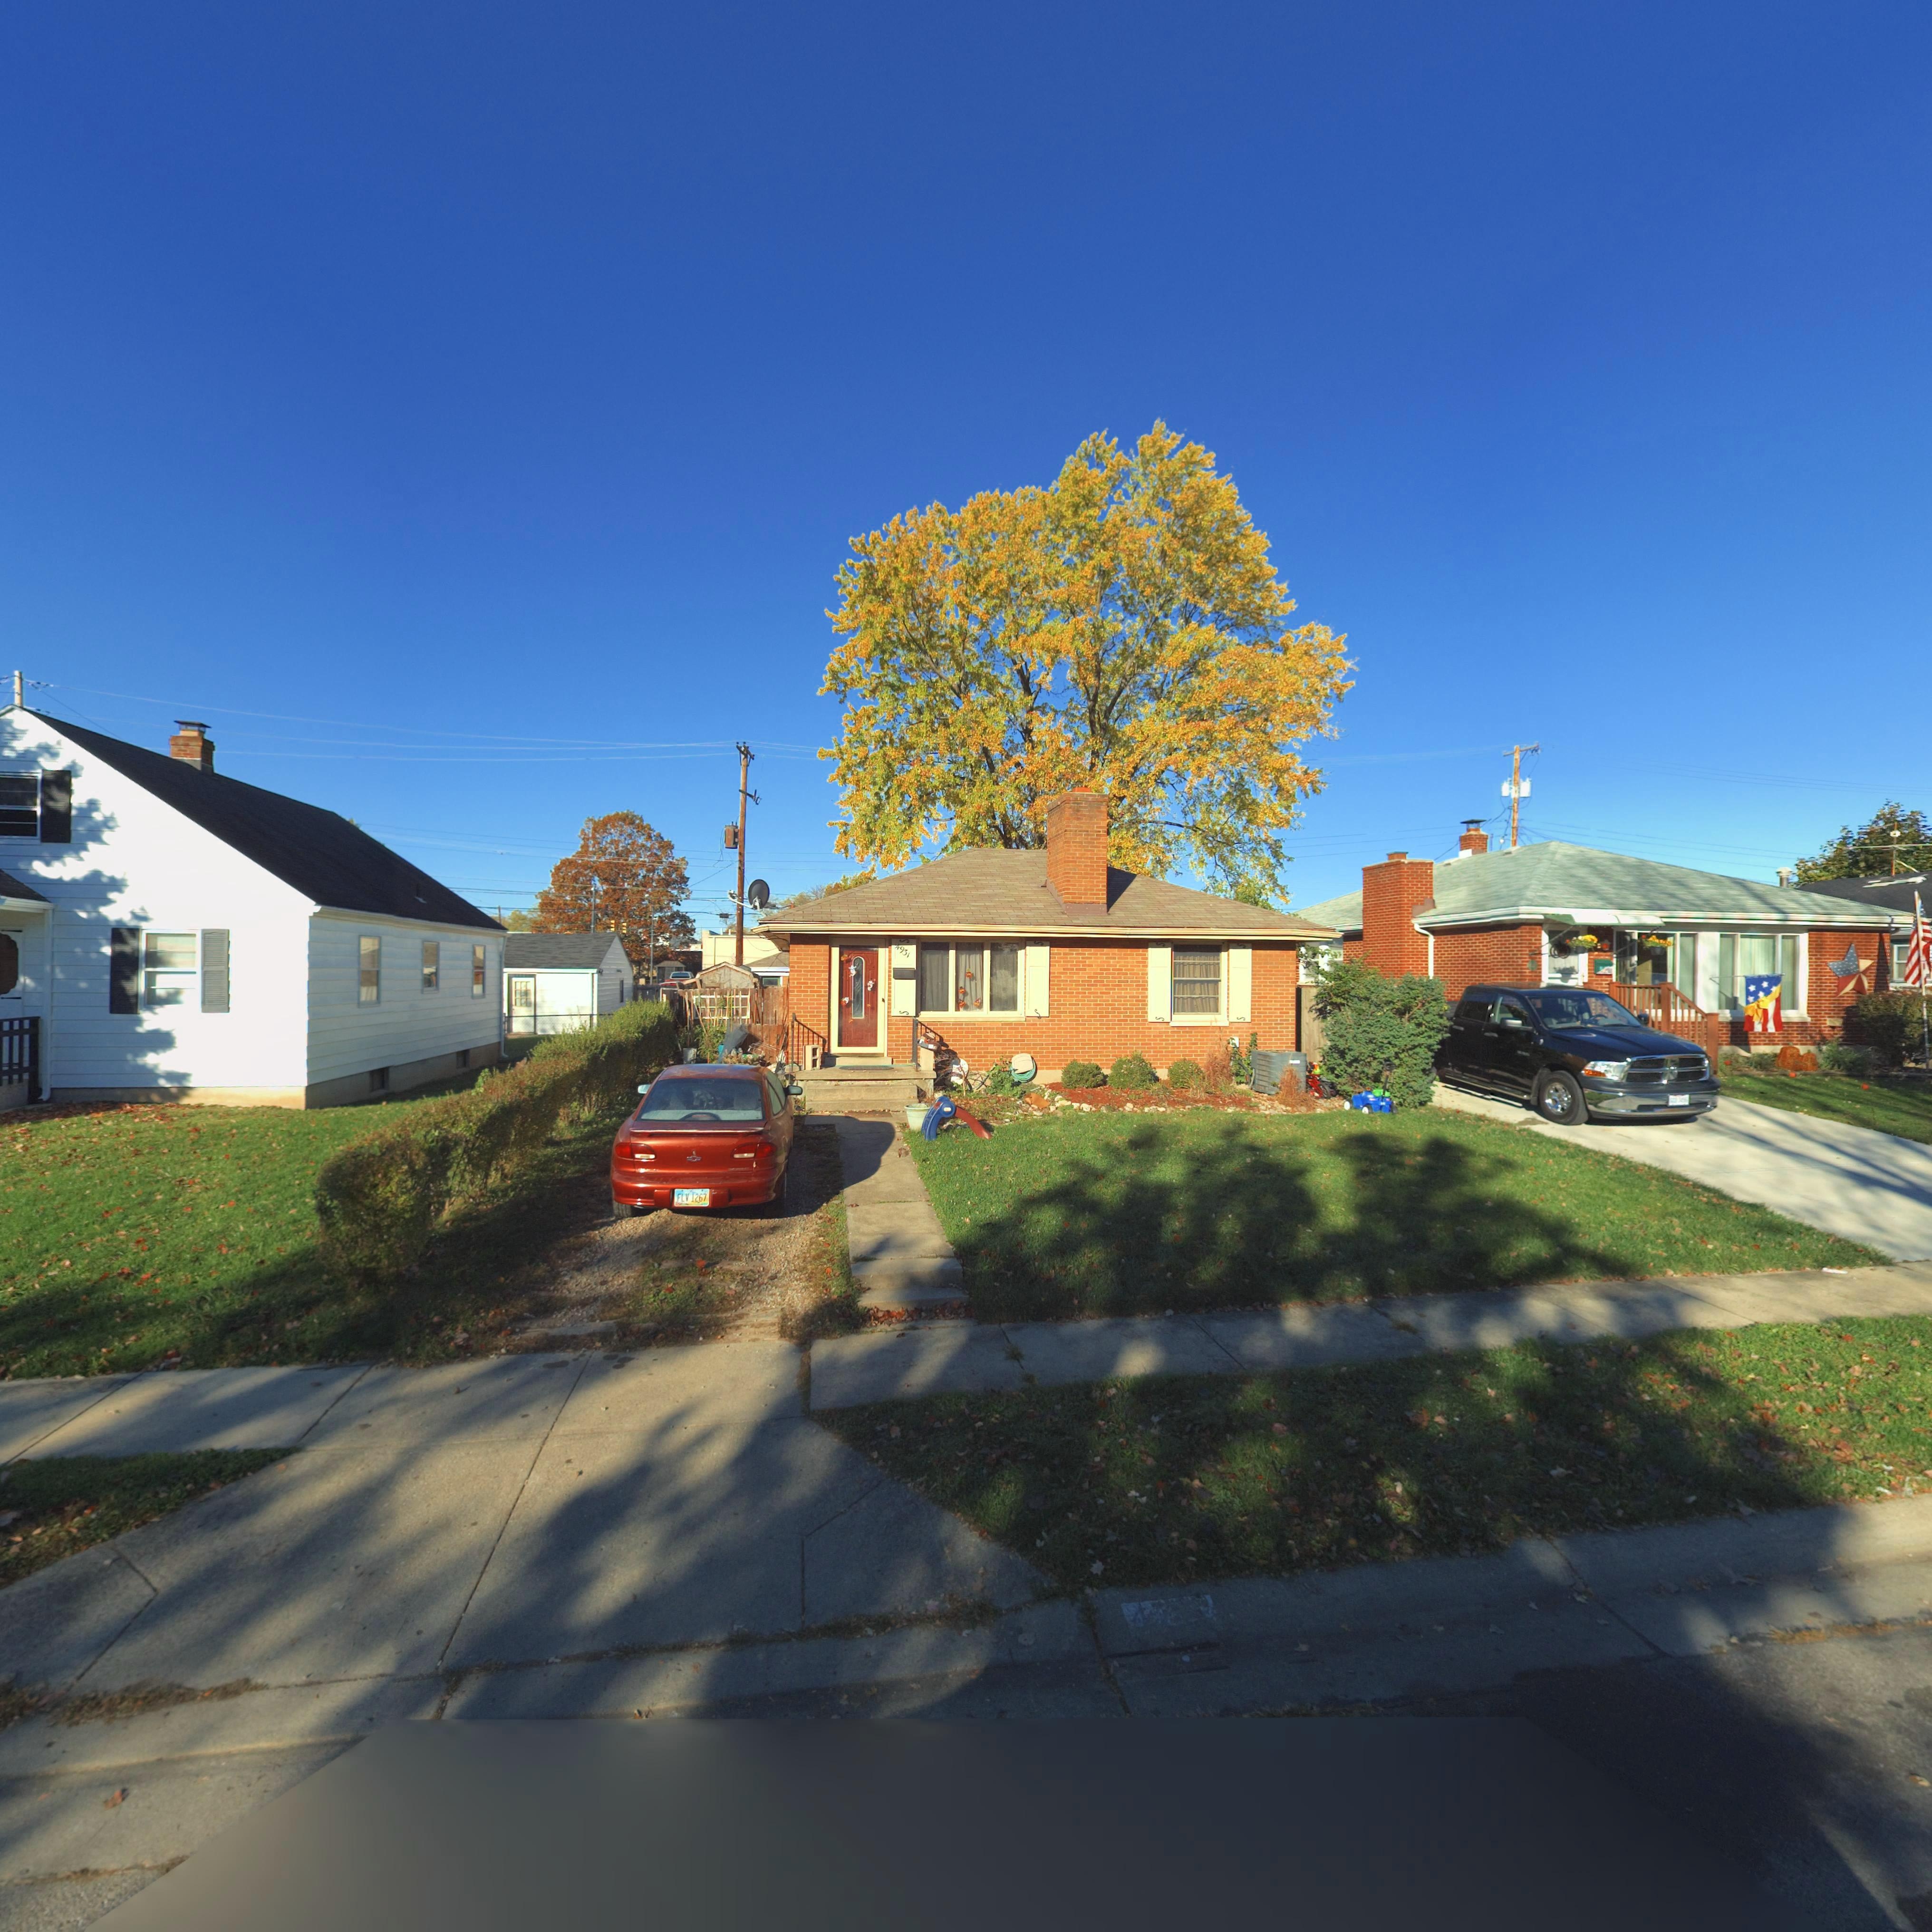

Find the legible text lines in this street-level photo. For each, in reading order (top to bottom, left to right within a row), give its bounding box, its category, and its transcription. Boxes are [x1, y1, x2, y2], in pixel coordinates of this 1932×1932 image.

[892, 941, 912, 960] StreetNumber: 4931